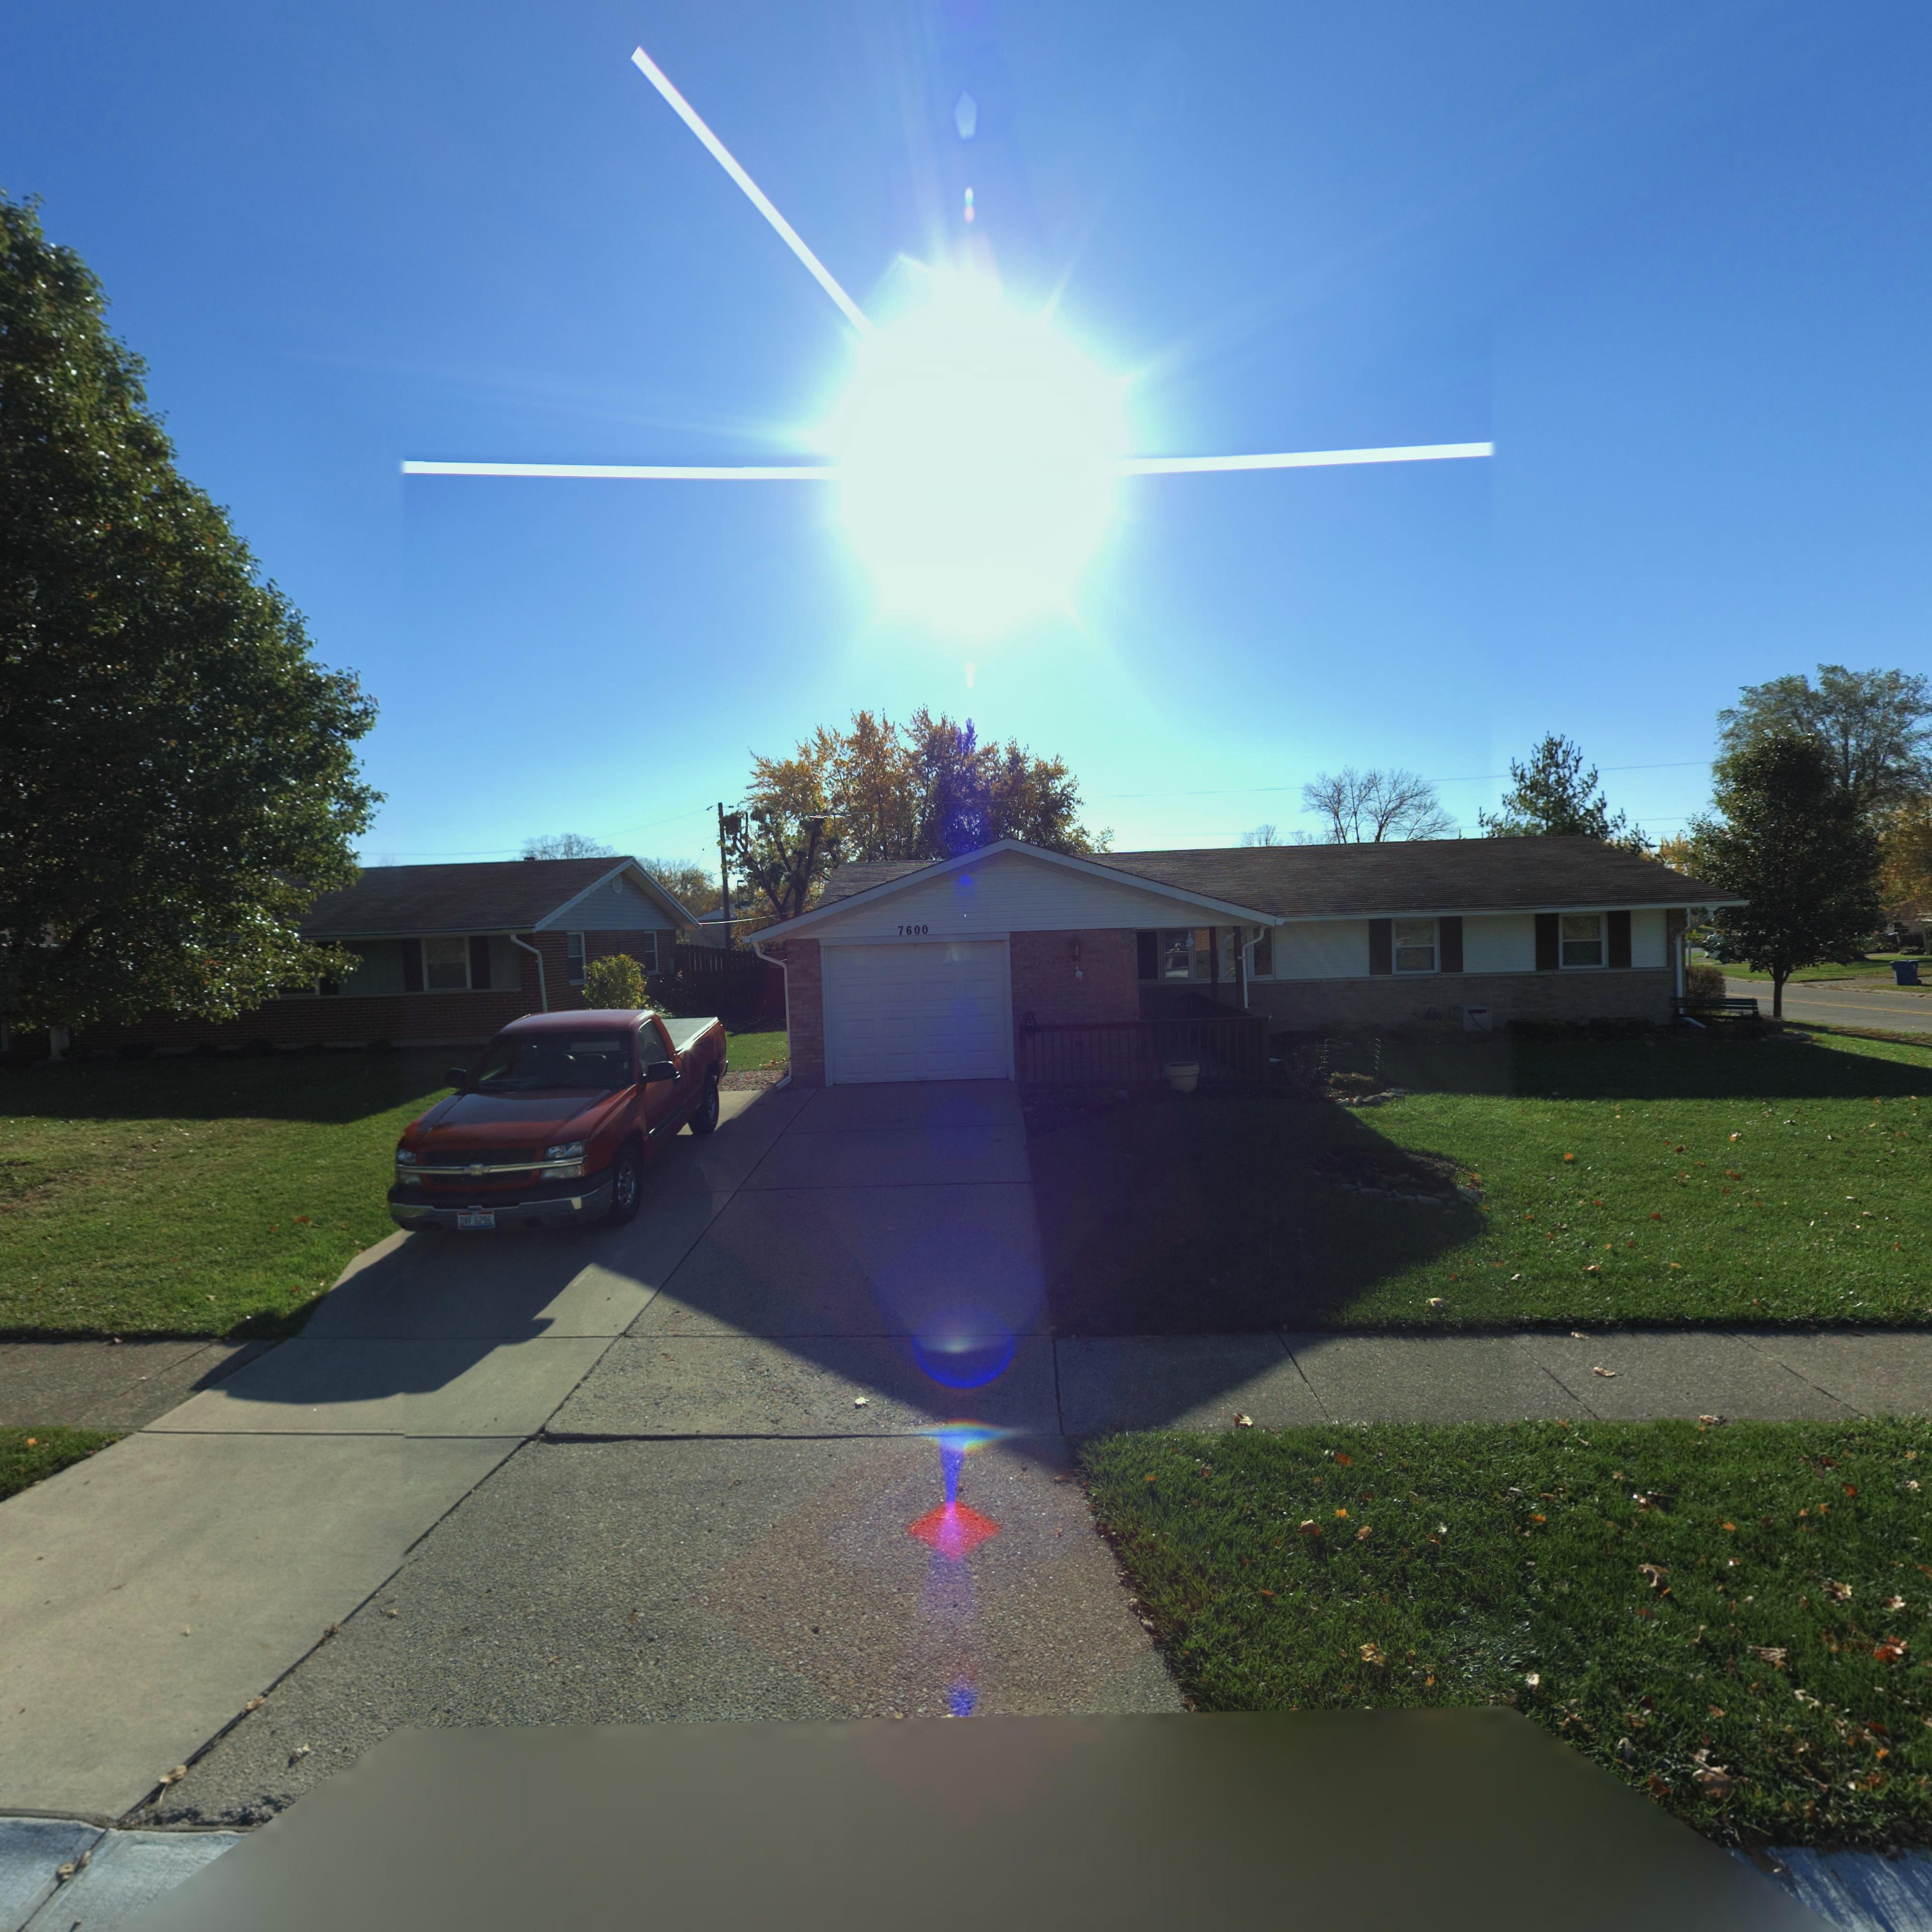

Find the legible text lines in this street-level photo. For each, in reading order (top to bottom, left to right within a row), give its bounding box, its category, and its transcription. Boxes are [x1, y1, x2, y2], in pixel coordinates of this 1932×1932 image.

[896, 924, 929, 937] StreetNumber: 7600